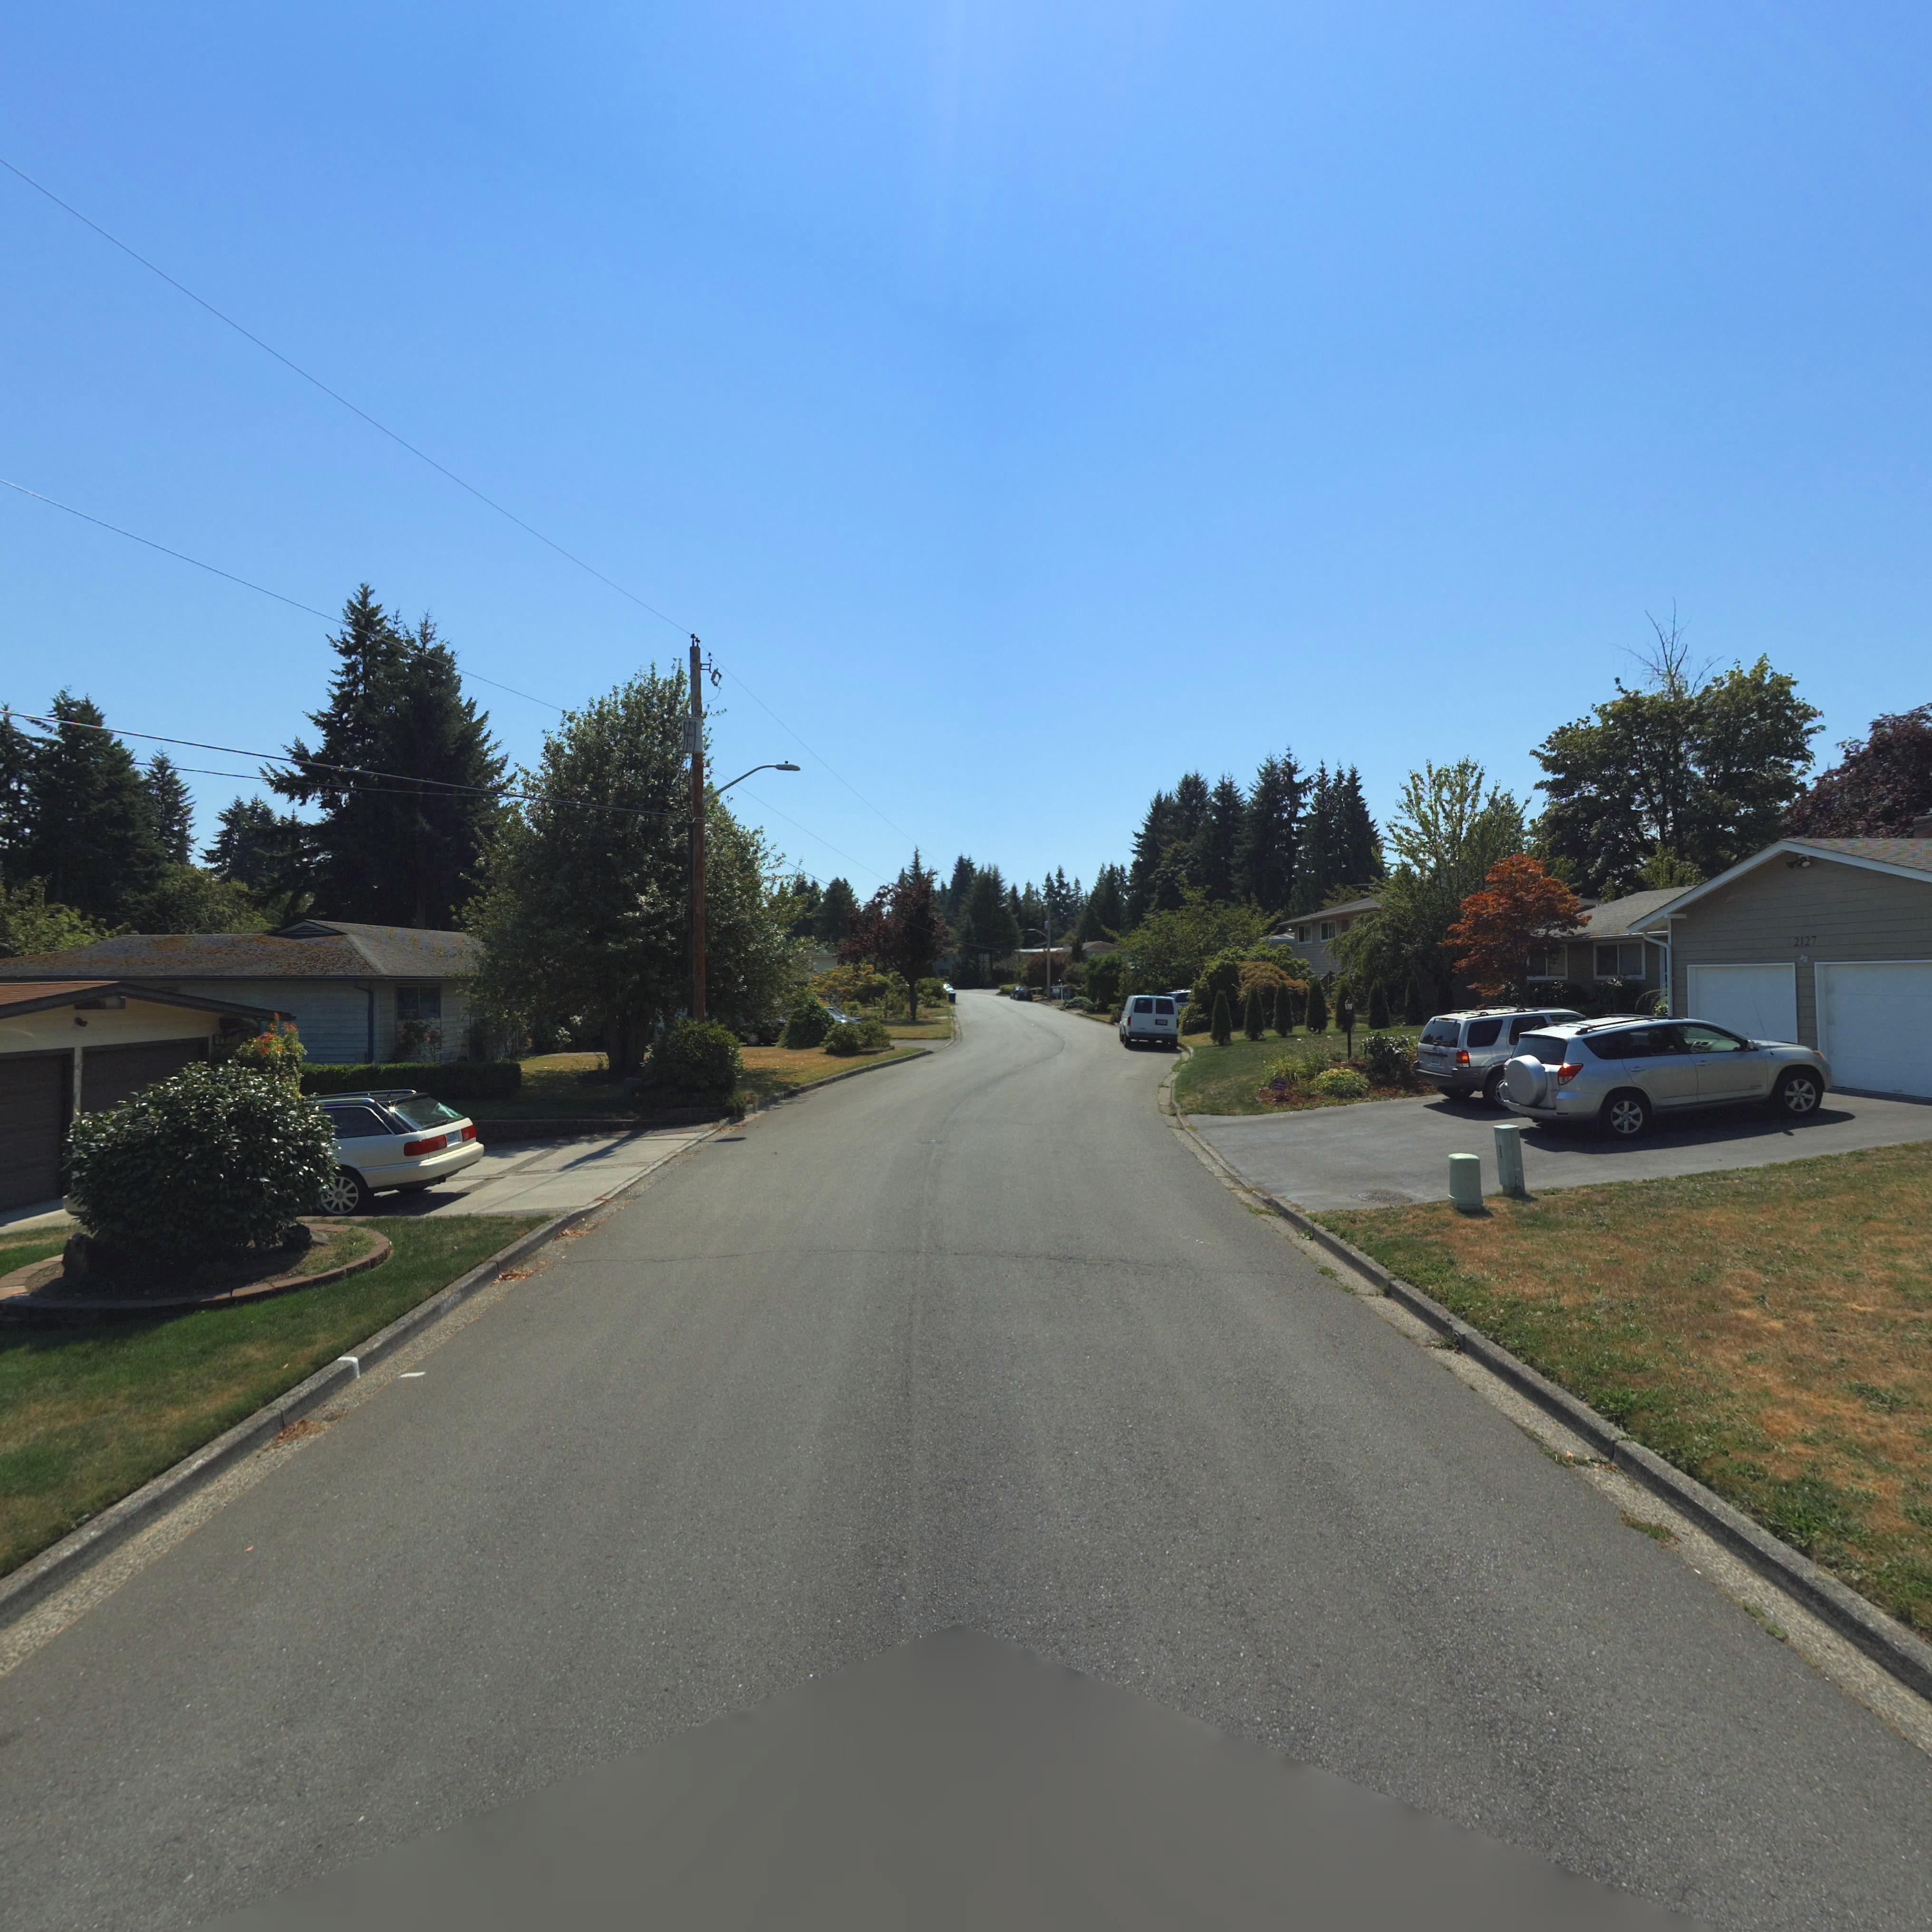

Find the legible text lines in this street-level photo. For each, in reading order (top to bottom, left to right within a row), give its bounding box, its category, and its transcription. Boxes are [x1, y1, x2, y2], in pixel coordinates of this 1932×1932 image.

[1794, 936, 1817, 947] StreetNumber: 2127